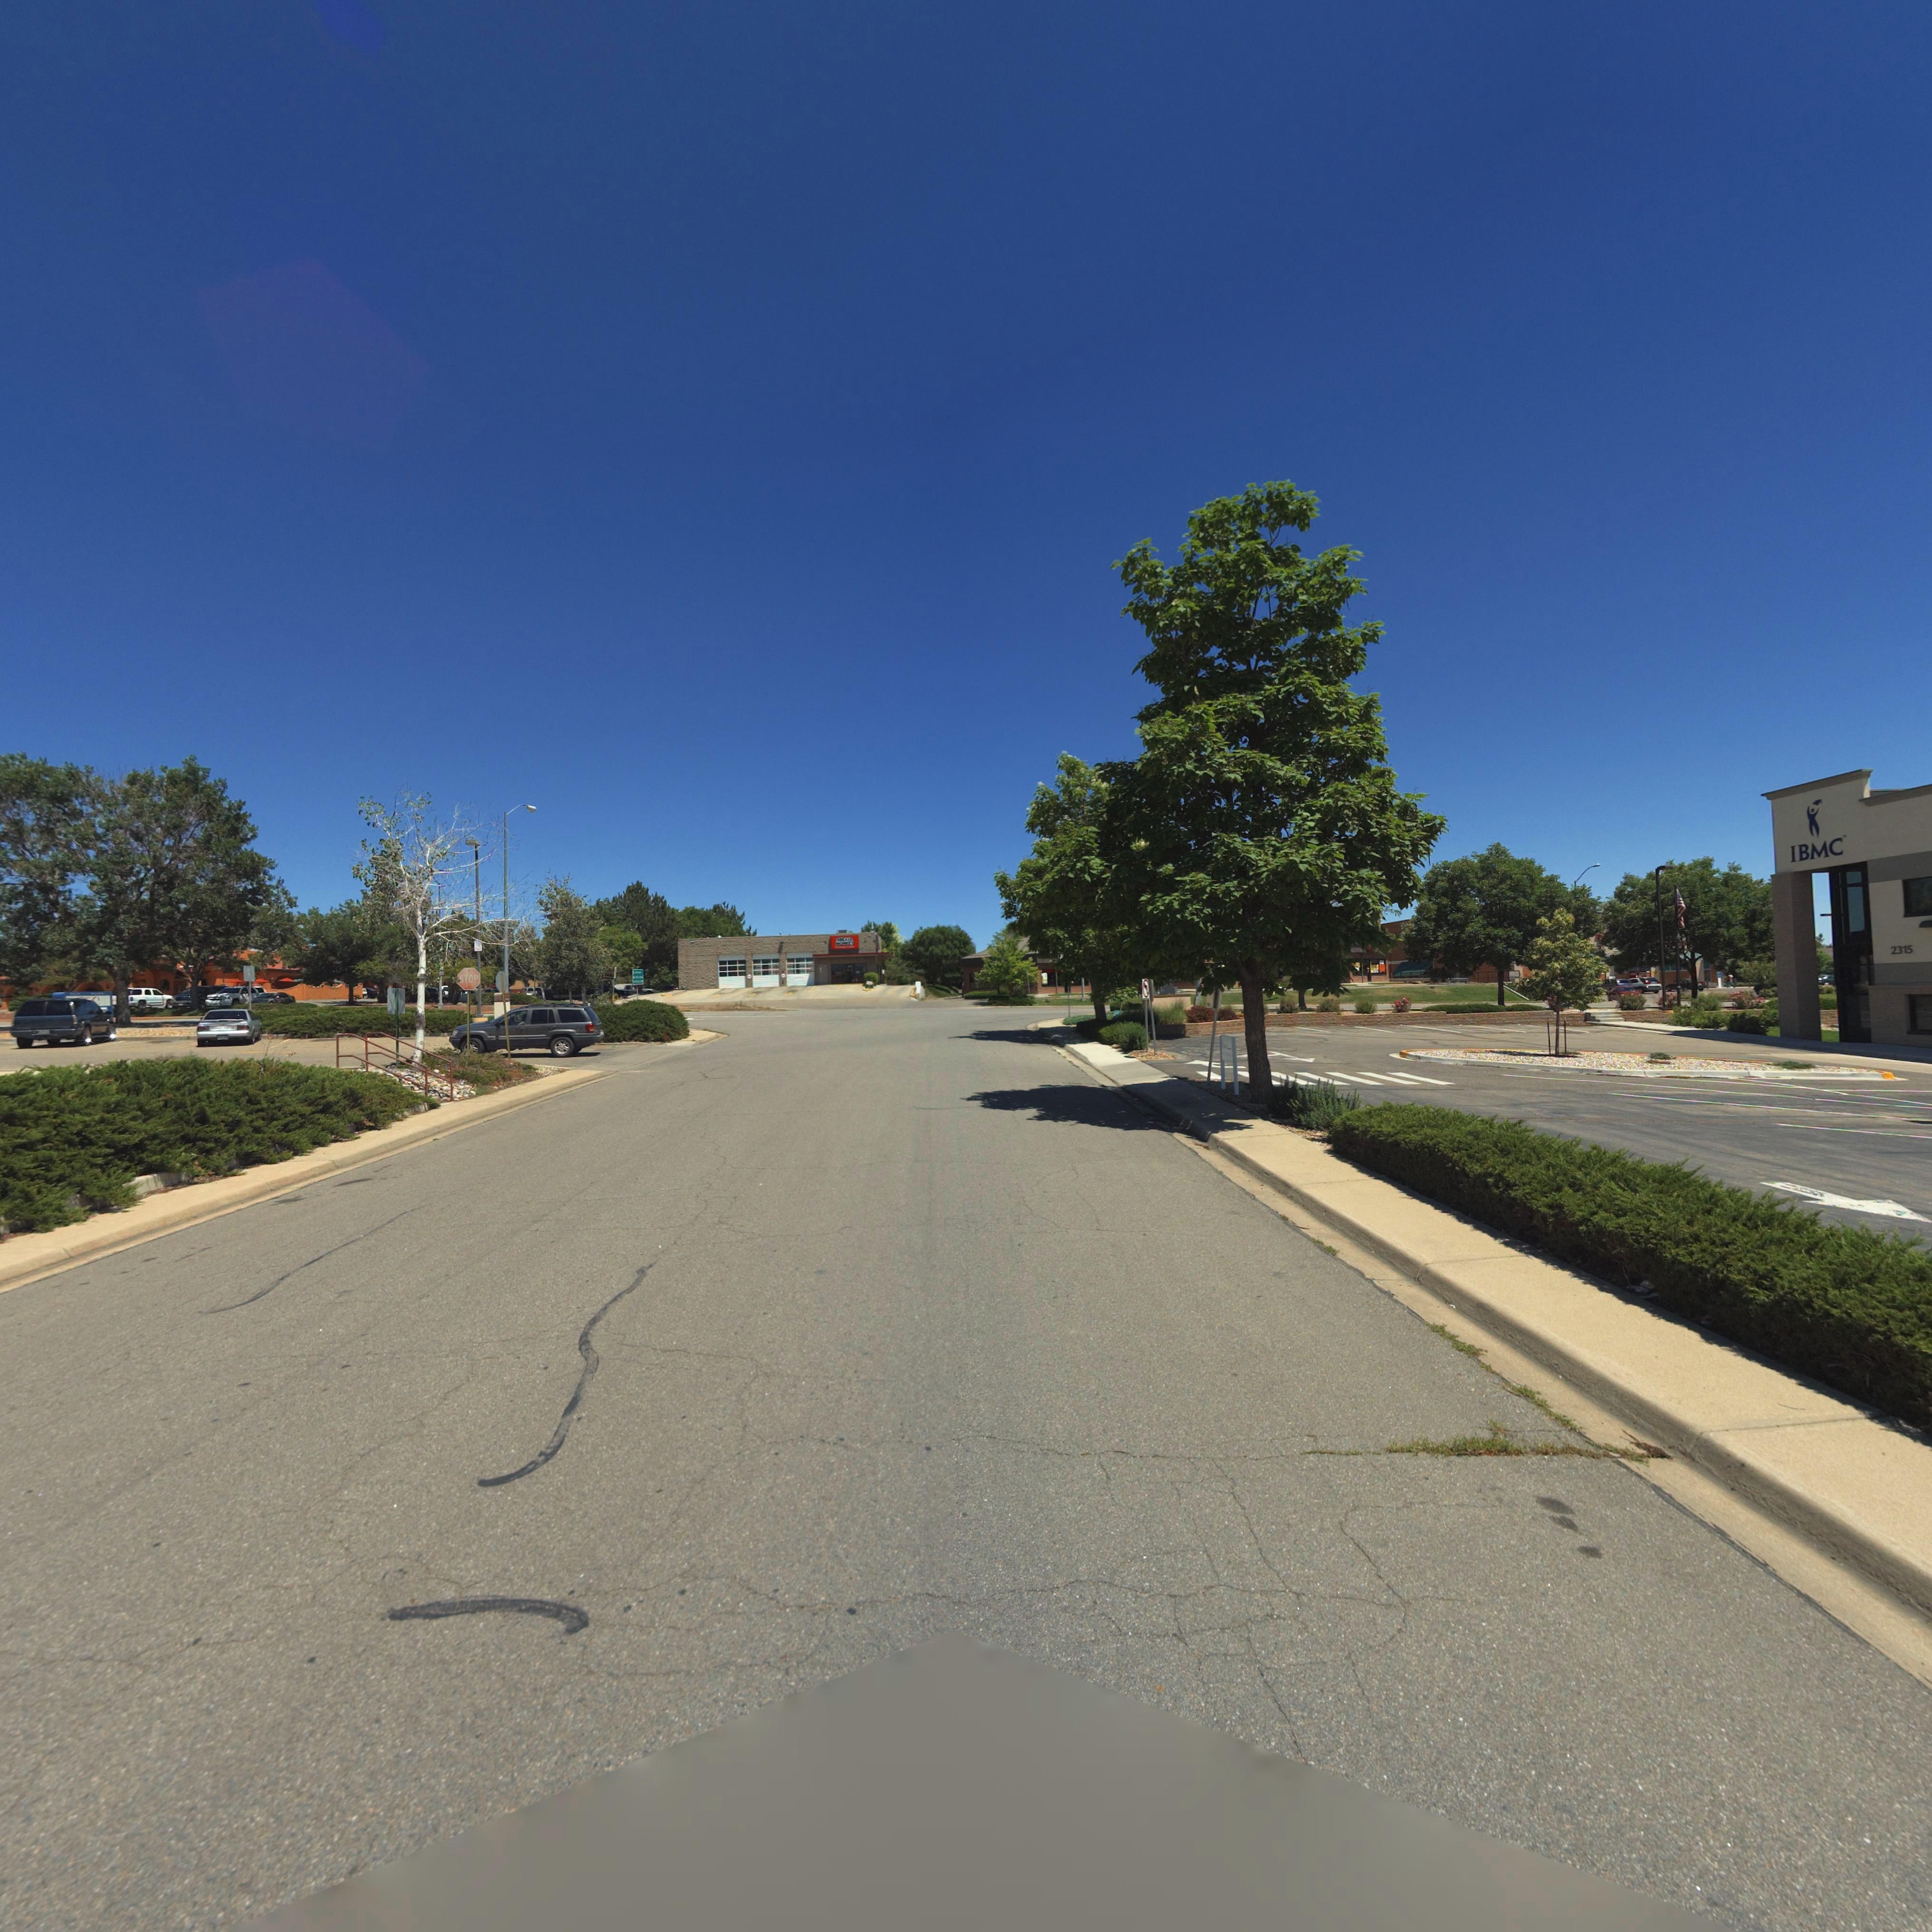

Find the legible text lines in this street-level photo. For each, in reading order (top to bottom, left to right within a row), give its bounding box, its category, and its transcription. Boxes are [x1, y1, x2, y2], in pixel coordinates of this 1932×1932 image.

[1789, 837, 1843, 863] BusinessName: IBMC
[836, 937, 853, 941] BusinessName: G****E
[835, 941, 854, 945] BusinessName: MO***Y
[1890, 945, 1913, 954] StreetNumber: 2315